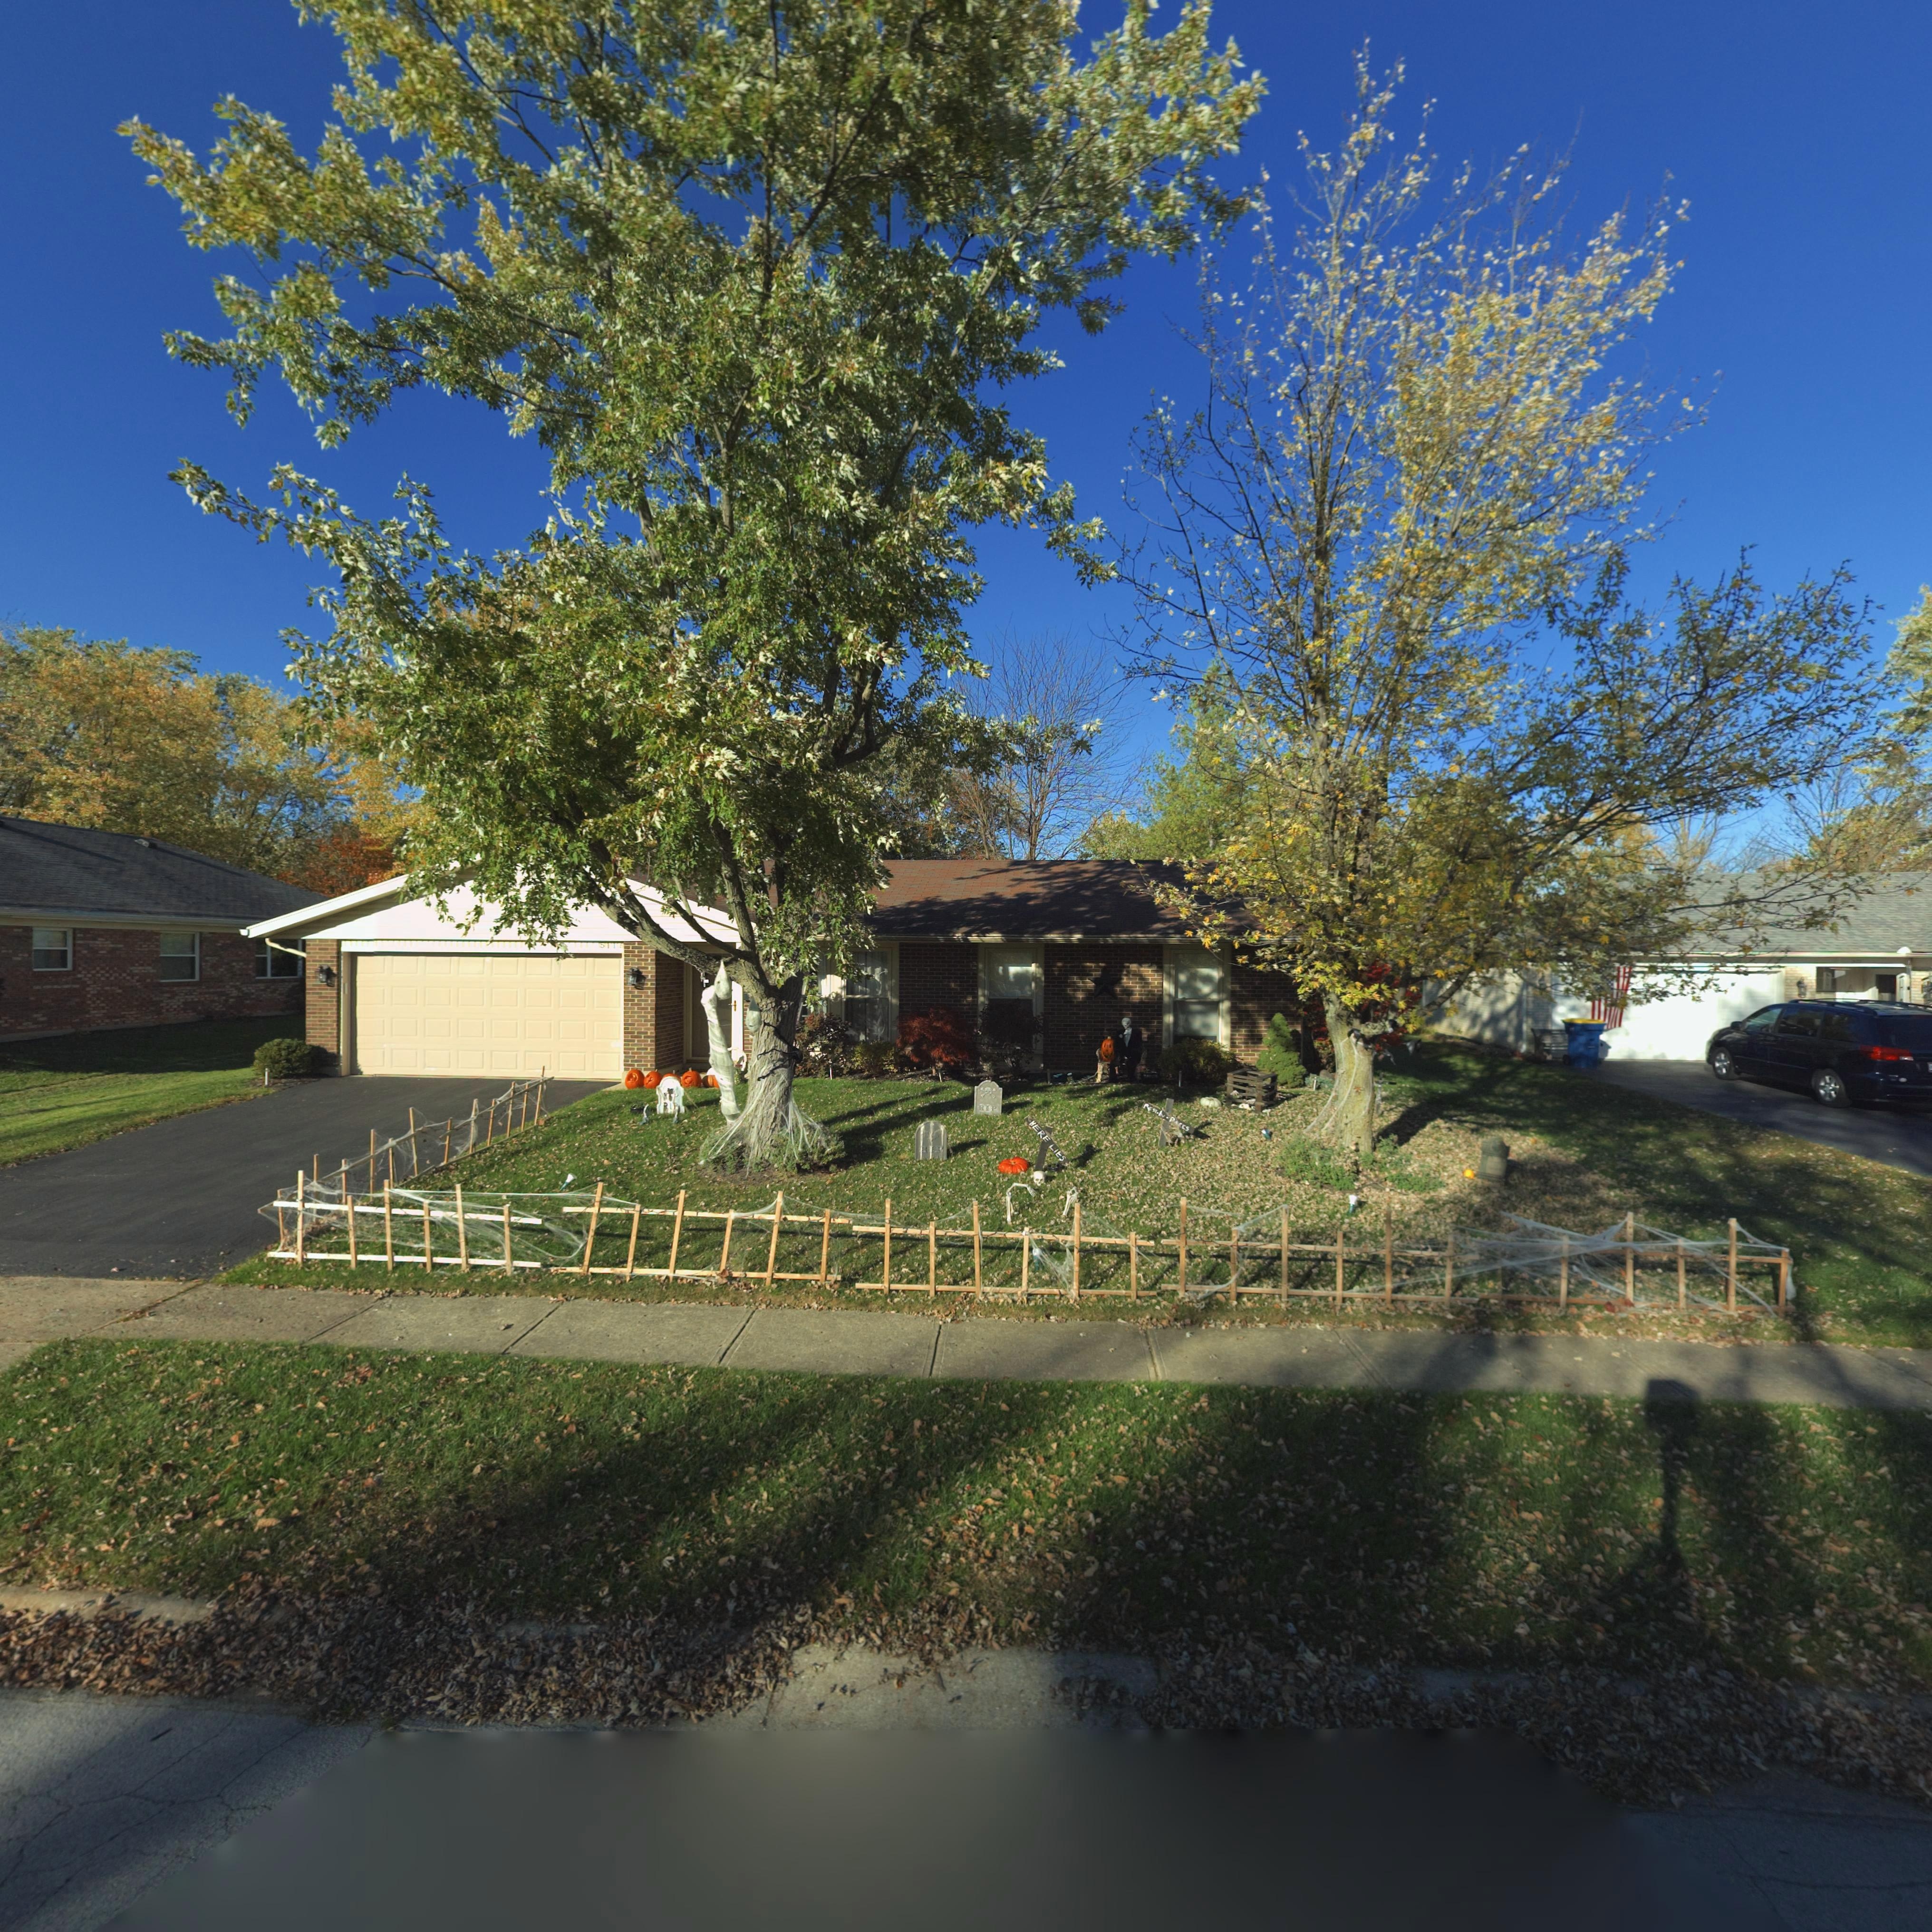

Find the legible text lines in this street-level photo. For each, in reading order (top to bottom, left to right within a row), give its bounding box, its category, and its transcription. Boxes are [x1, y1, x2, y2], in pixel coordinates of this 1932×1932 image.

[599, 942, 623, 948] StreetNumber: 5117